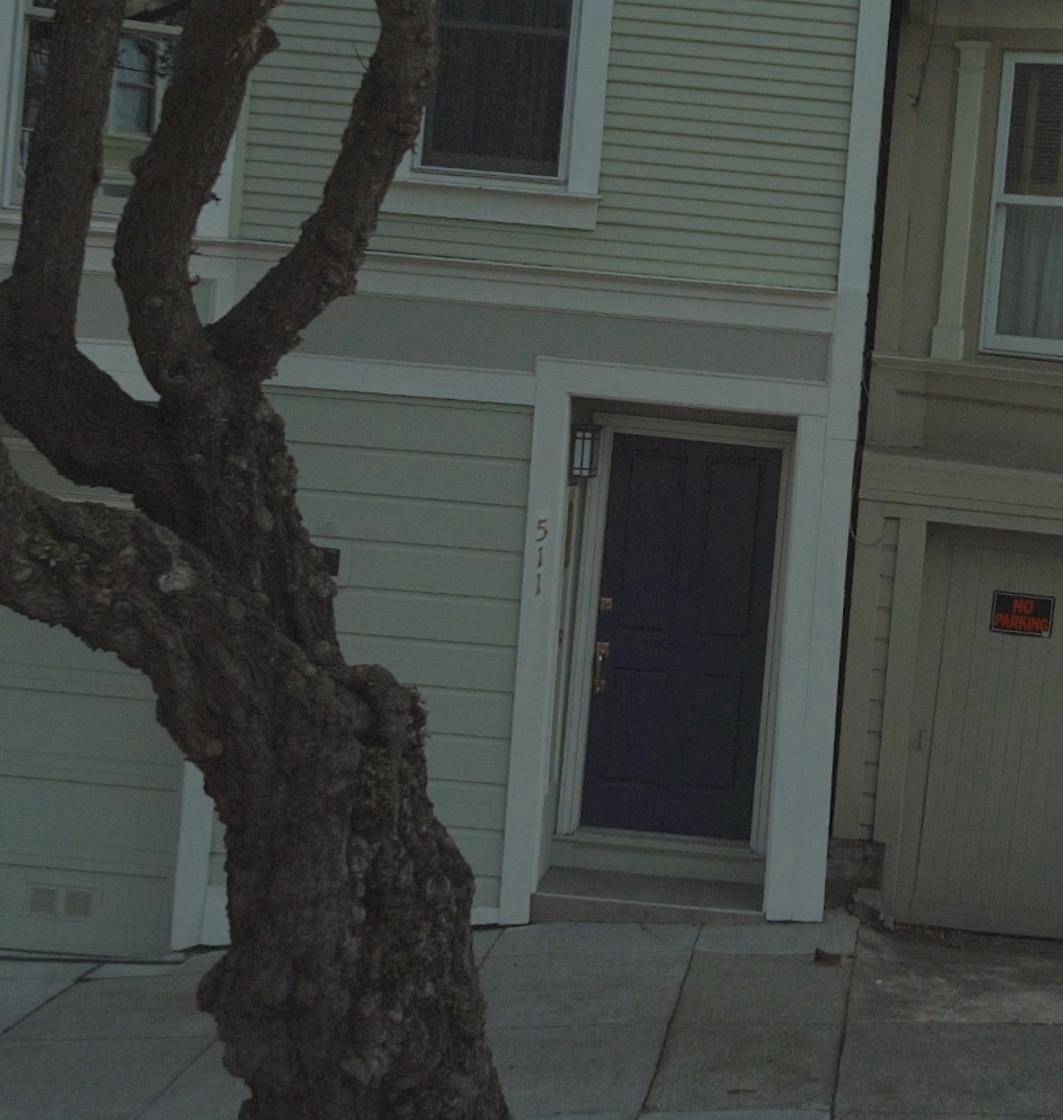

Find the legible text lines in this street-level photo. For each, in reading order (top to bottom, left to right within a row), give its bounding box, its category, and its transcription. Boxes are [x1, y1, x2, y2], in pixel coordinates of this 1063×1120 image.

[533, 516, 550, 598] StreetNumber: 511
[1012, 597, 1034, 616] None: NO
[994, 611, 1050, 633] None: PARKING